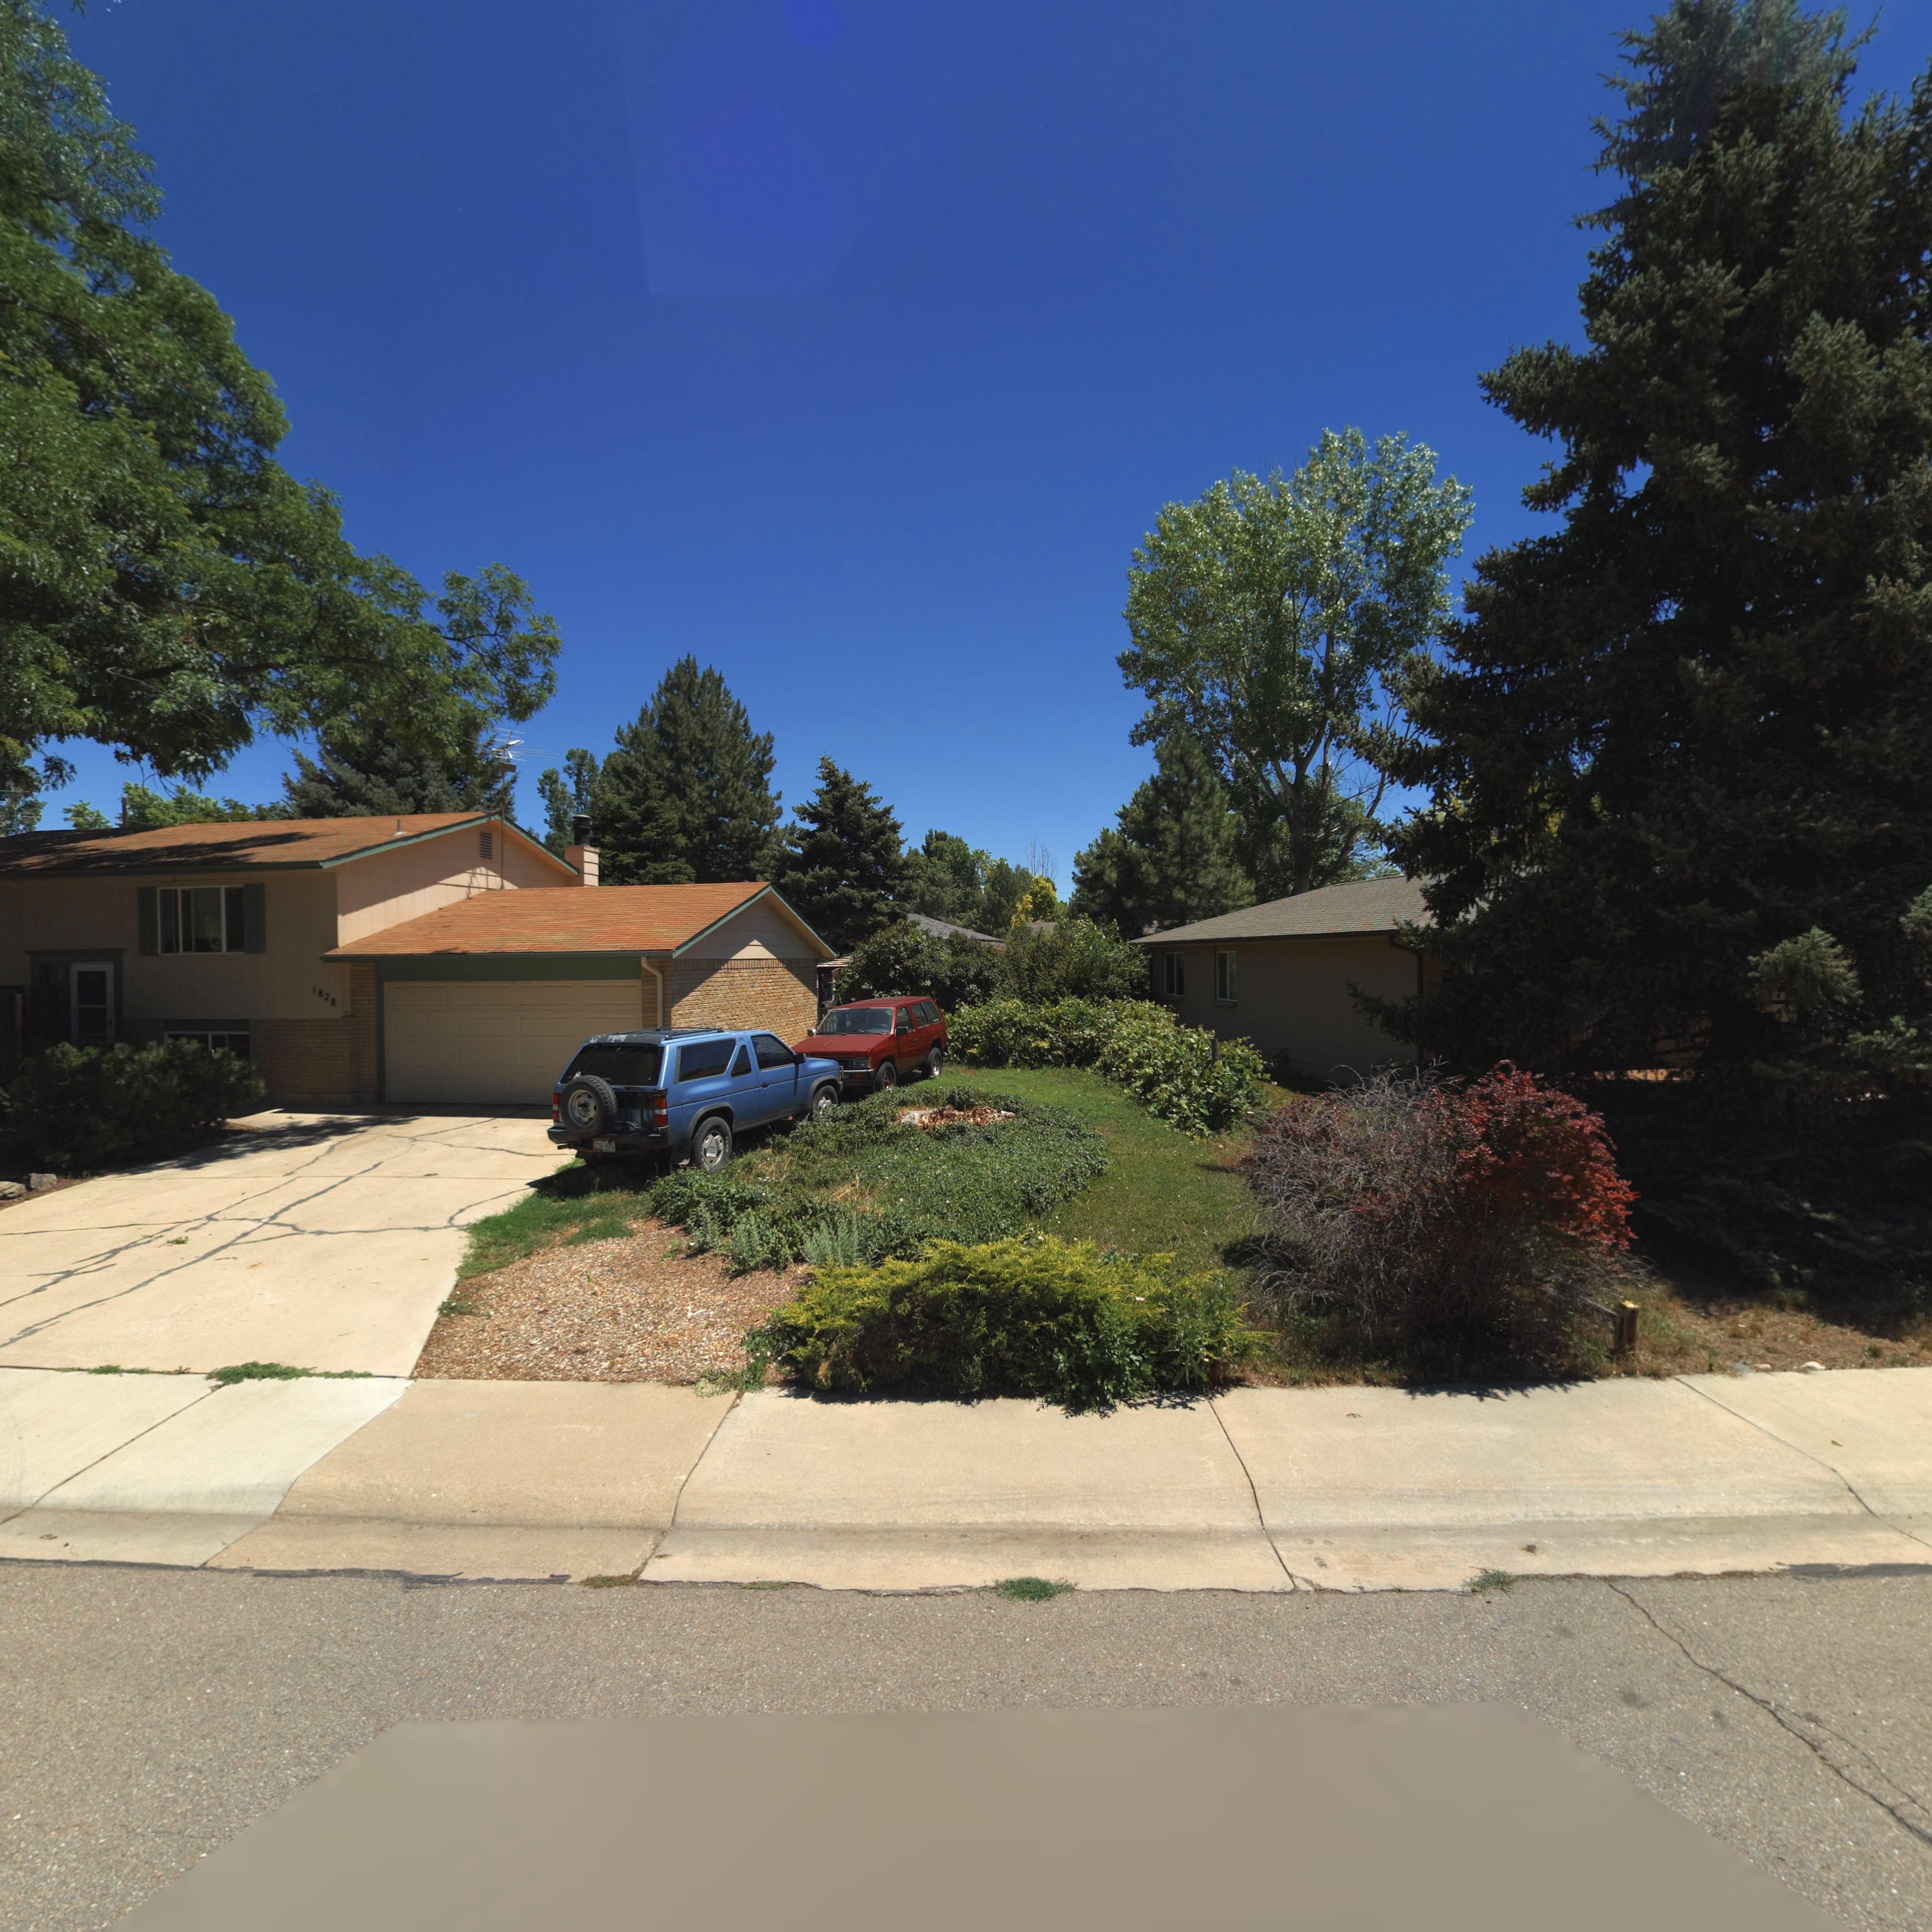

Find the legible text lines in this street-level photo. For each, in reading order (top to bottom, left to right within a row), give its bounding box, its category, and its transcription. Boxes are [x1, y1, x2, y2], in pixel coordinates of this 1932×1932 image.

[312, 984, 336, 1006] StreetNumber: 1828